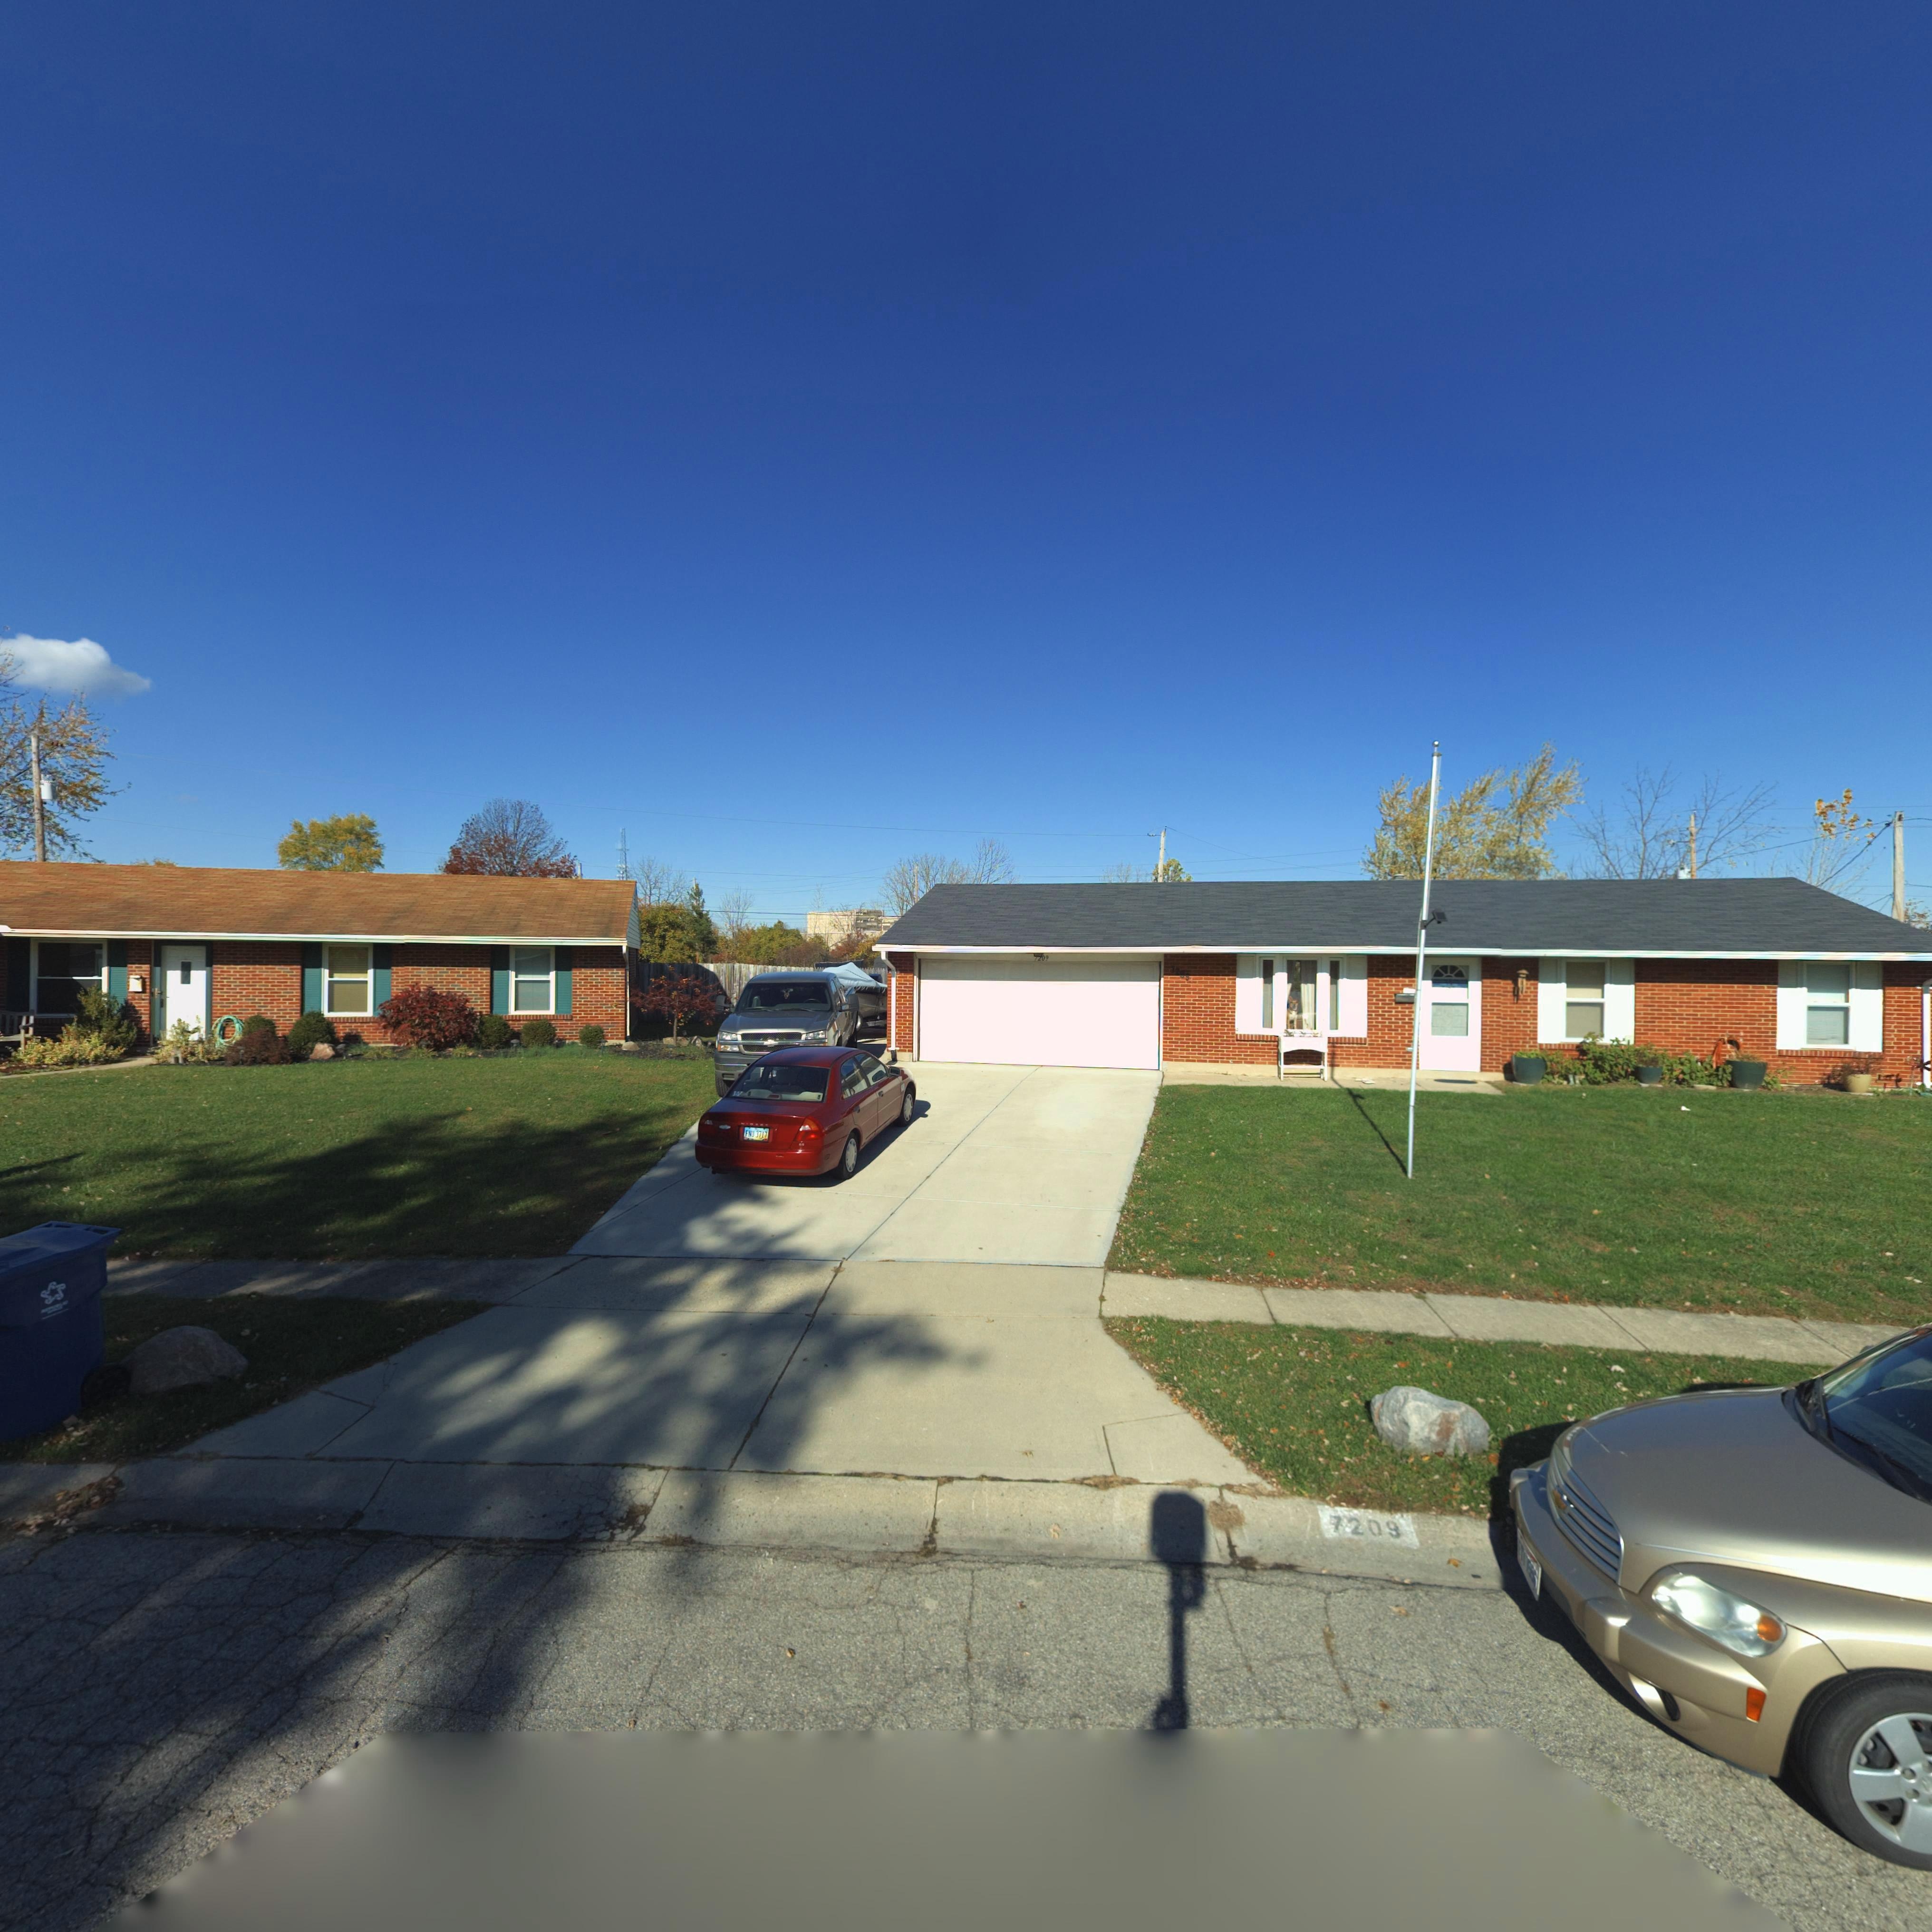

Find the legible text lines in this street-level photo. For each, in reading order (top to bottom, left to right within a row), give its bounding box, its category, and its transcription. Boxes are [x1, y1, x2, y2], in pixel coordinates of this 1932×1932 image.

[1041, 954, 1050, 962] StreetNumber: 09
[1170, 964, 1191, 983] StreetNumber: 72*9
[1329, 1514, 1403, 1540] StreetNumber: 7209